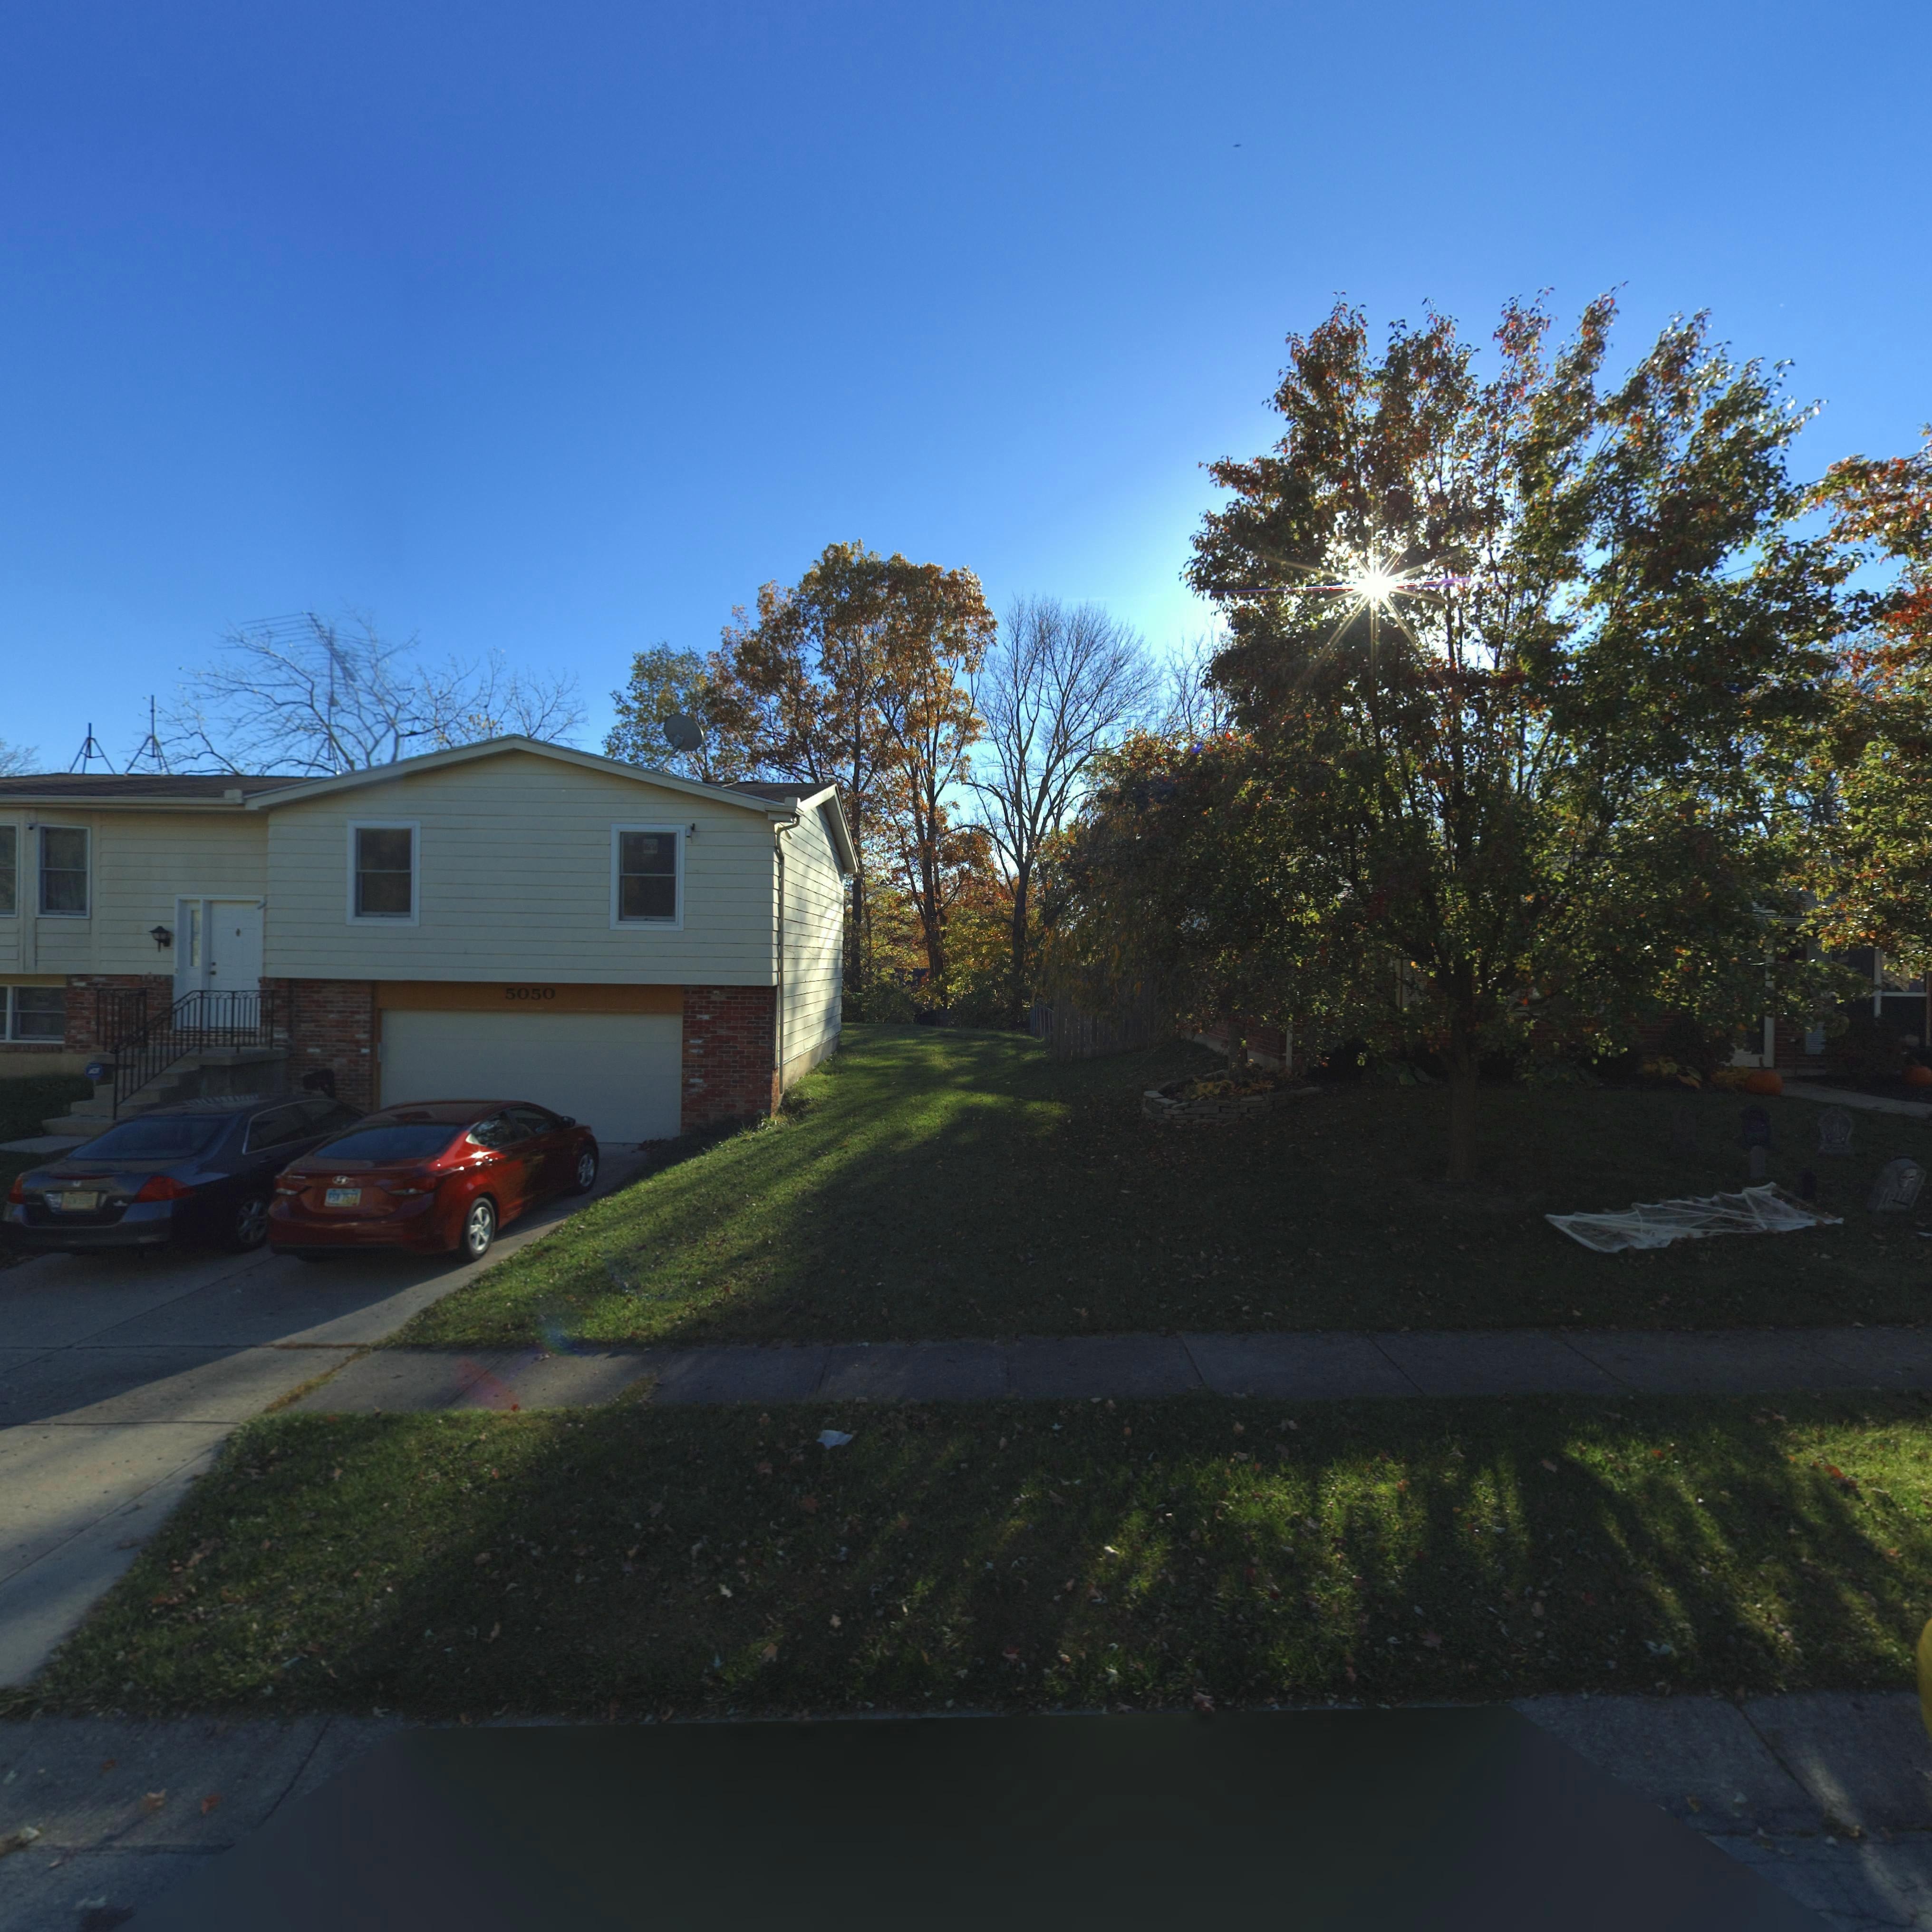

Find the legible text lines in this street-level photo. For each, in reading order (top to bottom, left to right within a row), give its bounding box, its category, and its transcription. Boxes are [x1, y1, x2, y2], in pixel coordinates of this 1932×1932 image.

[504, 986, 555, 1001] StreetNumber: 5050